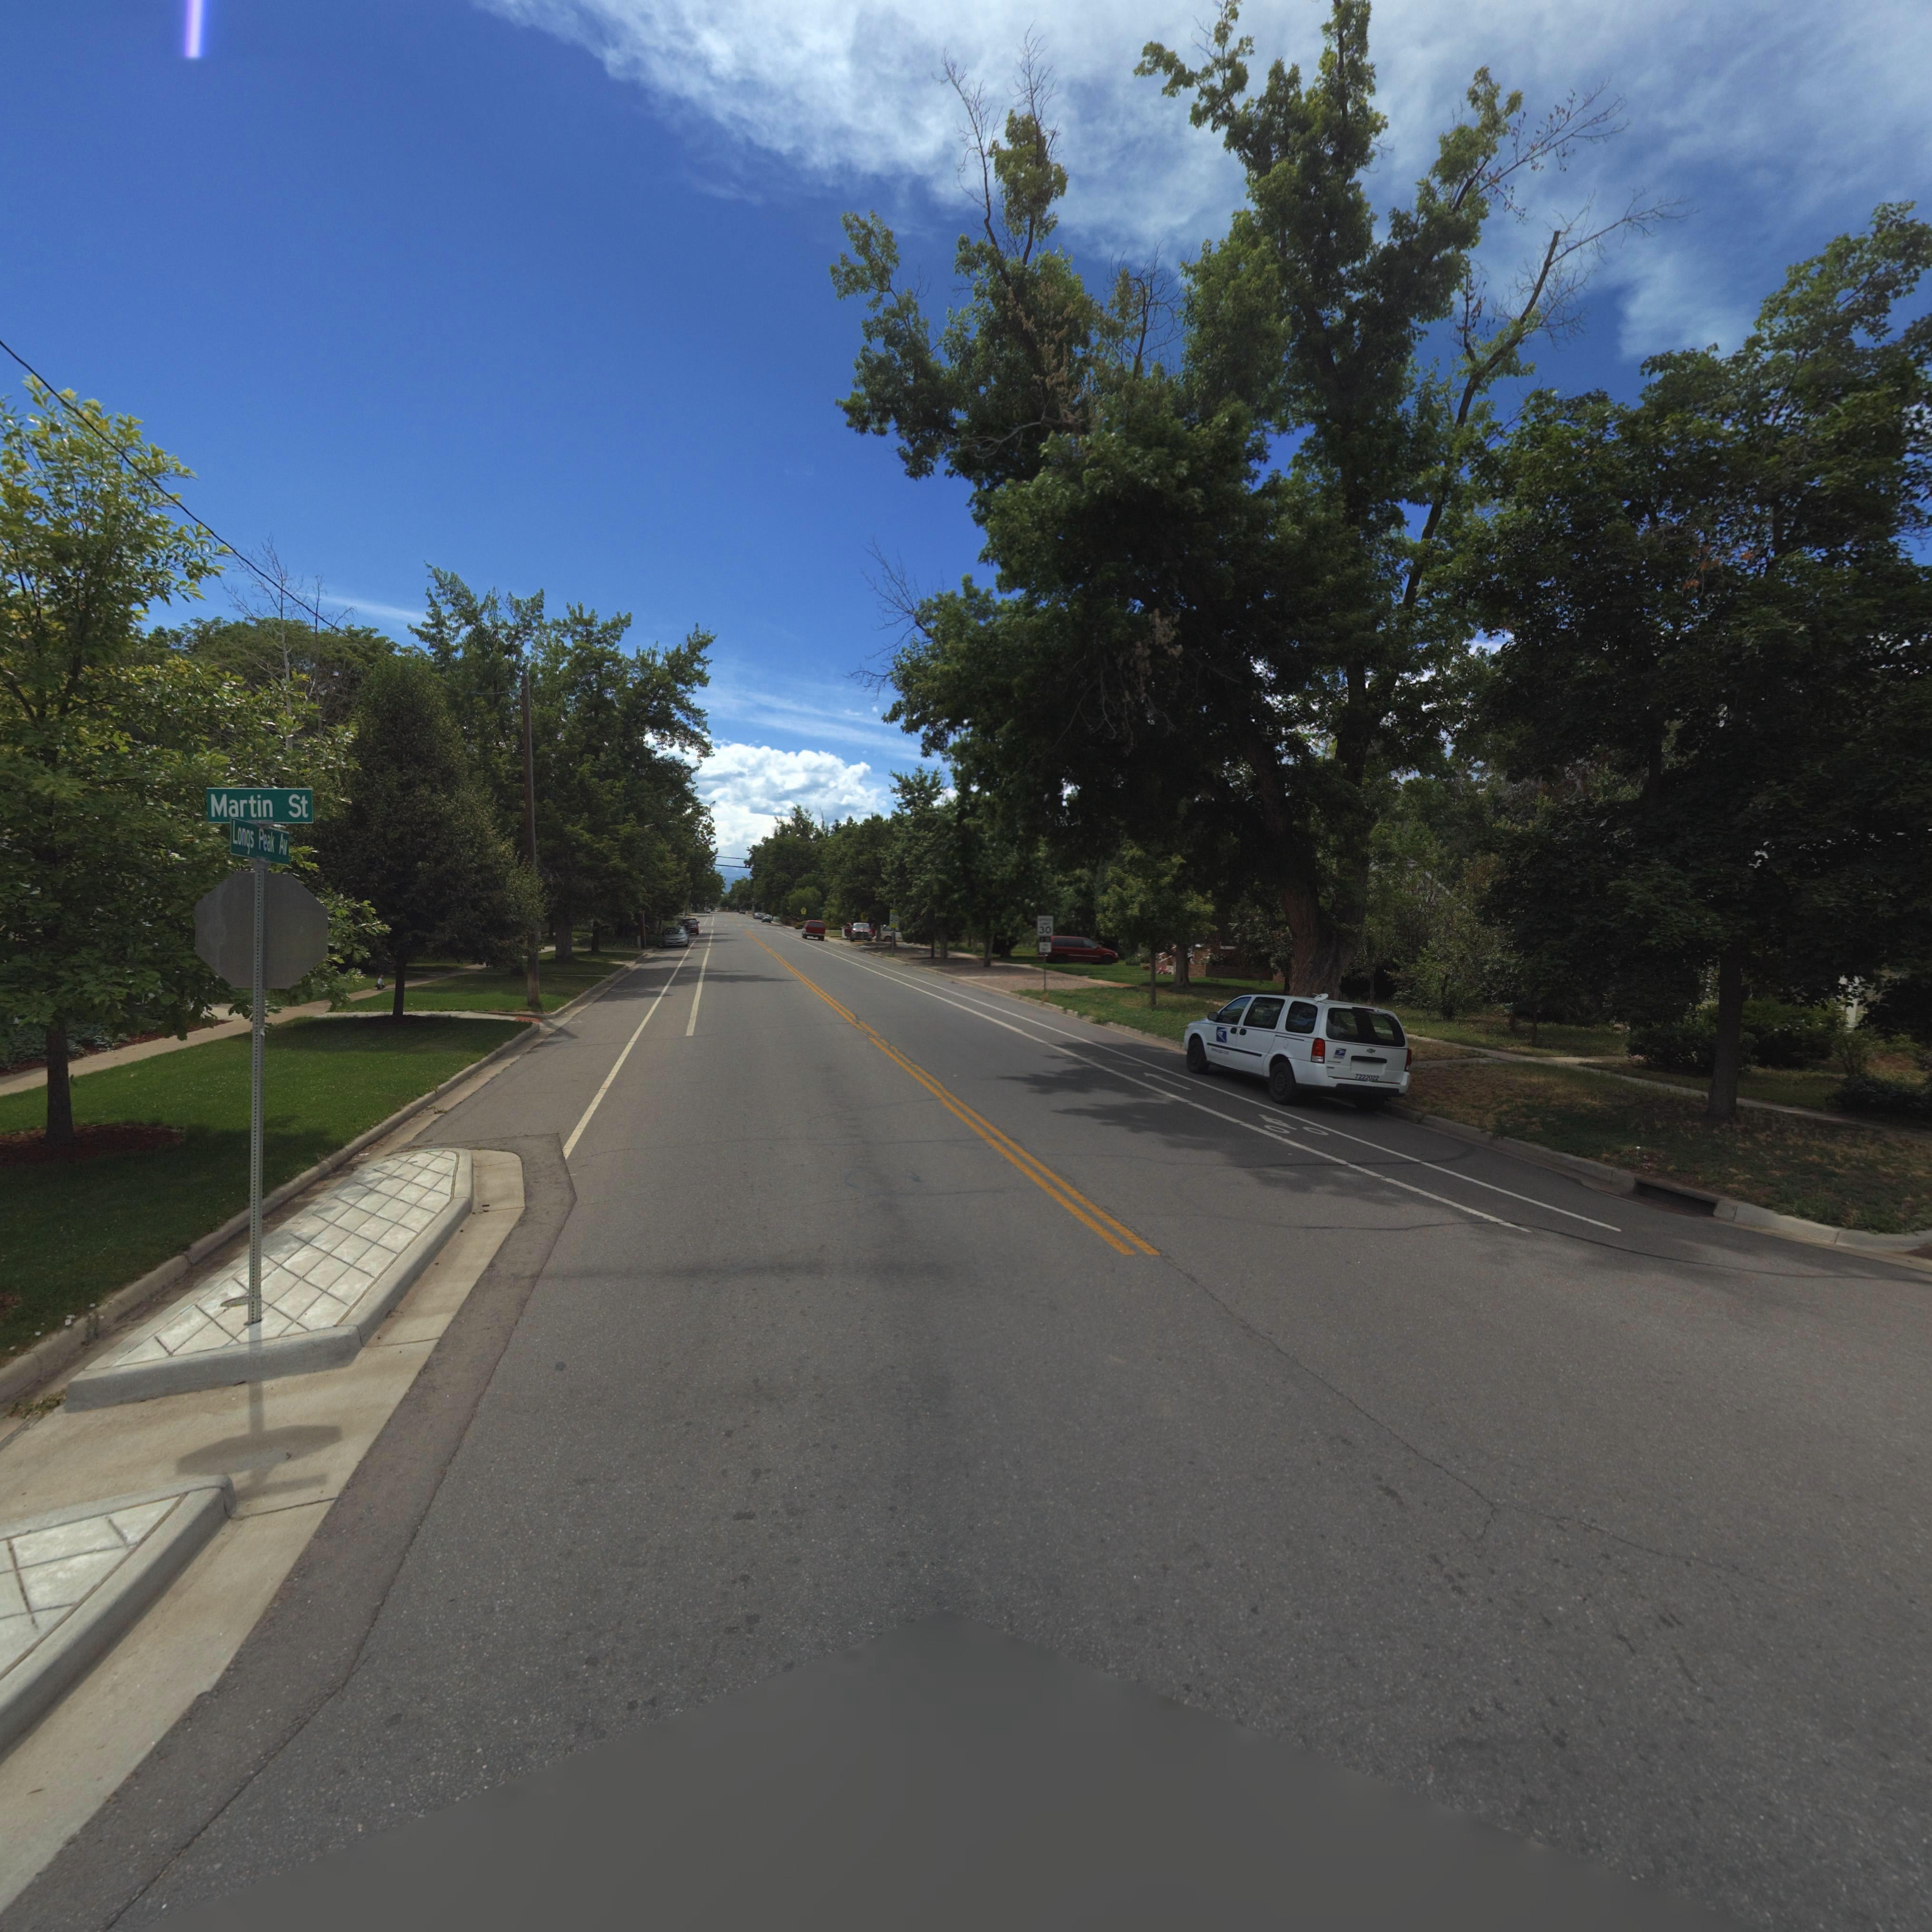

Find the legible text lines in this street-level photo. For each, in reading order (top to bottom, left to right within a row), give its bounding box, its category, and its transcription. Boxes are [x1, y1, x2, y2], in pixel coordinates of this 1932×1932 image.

[209, 793, 310, 818] StreetName: Martin St
[232, 820, 288, 856] StreetName: Longs Peak Av